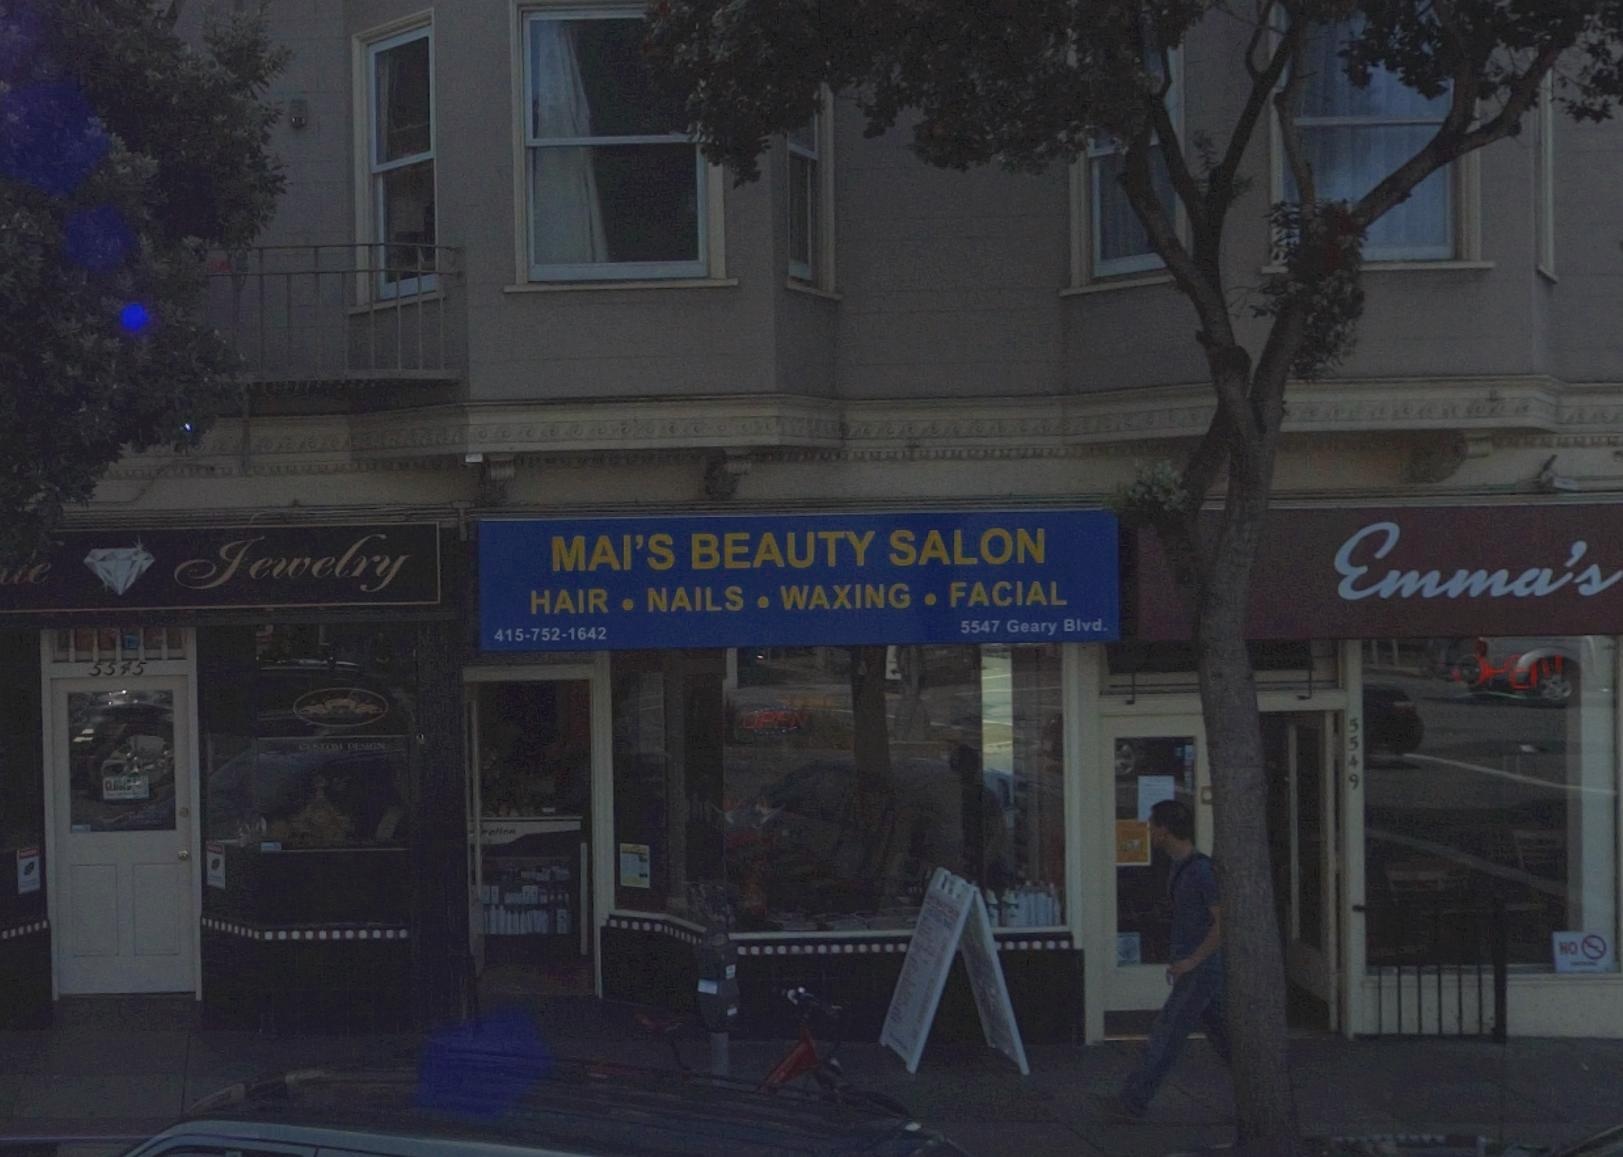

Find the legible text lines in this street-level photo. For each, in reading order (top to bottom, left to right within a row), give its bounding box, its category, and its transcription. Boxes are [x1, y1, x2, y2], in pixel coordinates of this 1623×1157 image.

[546, 523, 1049, 575] BusinessName: MAI'S BEAUTY SALON
[18, 526, 412, 599] BusinessName: e * Jewelry
[523, 576, 1071, 617] None: HAIR.NAILS.WAXING.FACIAL
[486, 623, 611, 644] None: 415-752-1642
[957, 617, 1003, 637] StreetNumber: 5547
[1006, 616, 1108, 637] StreetName: Geary Blvd.
[86, 658, 152, 680] StreetNumber: 5545
[737, 708, 815, 733] None: OPEN
[1345, 715, 1362, 799] StreetNumber: 5549